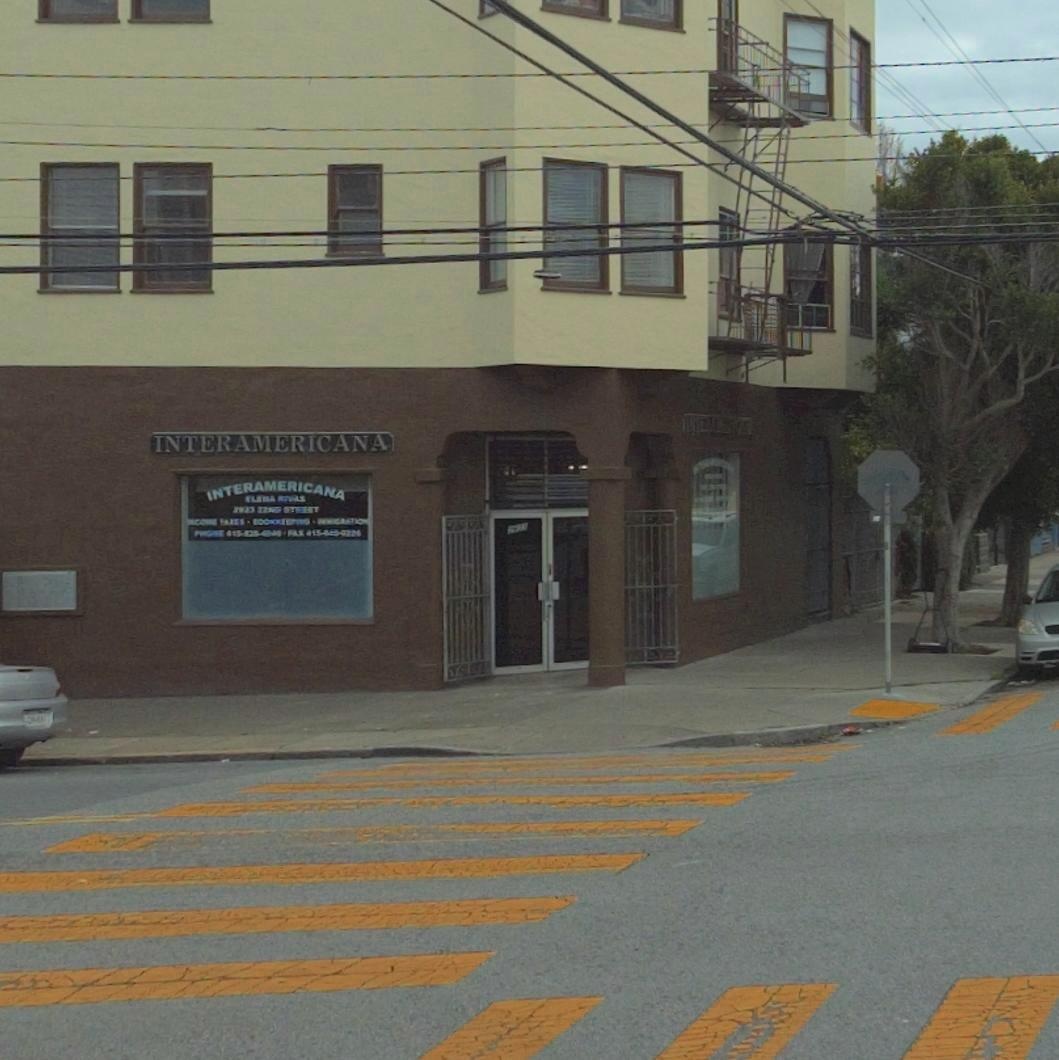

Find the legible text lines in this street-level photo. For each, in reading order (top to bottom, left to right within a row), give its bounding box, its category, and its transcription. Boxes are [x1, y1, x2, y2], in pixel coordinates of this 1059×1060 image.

[152, 433, 390, 454] BusinessName: INTERAMERICANA
[204, 479, 346, 503] None: INTERAMERICANA
[508, 522, 528, 535] StreetNumber: 2923